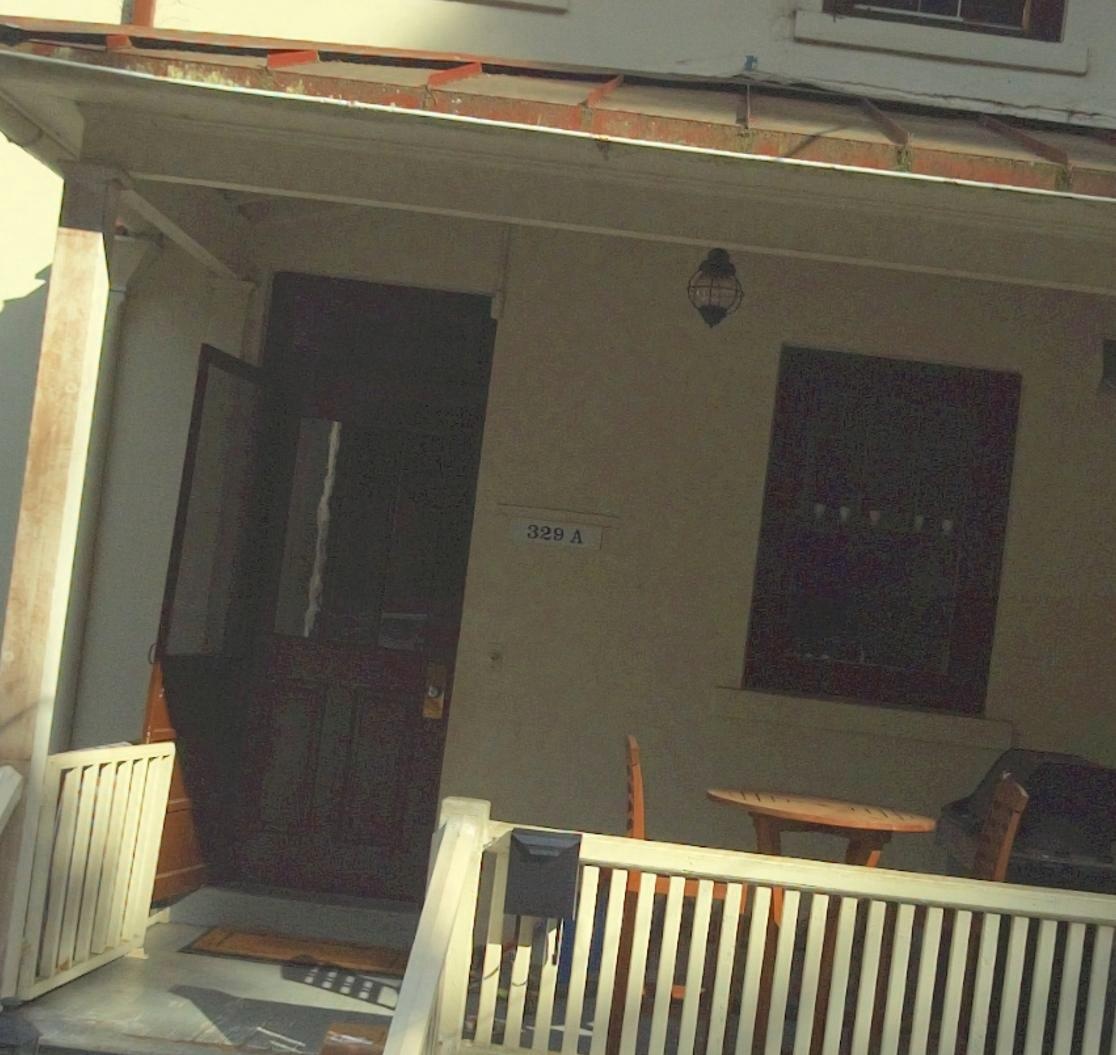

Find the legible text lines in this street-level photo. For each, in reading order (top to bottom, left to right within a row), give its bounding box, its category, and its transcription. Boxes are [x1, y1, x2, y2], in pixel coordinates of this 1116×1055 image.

[524, 523, 585, 546] StreetNumber: 329A